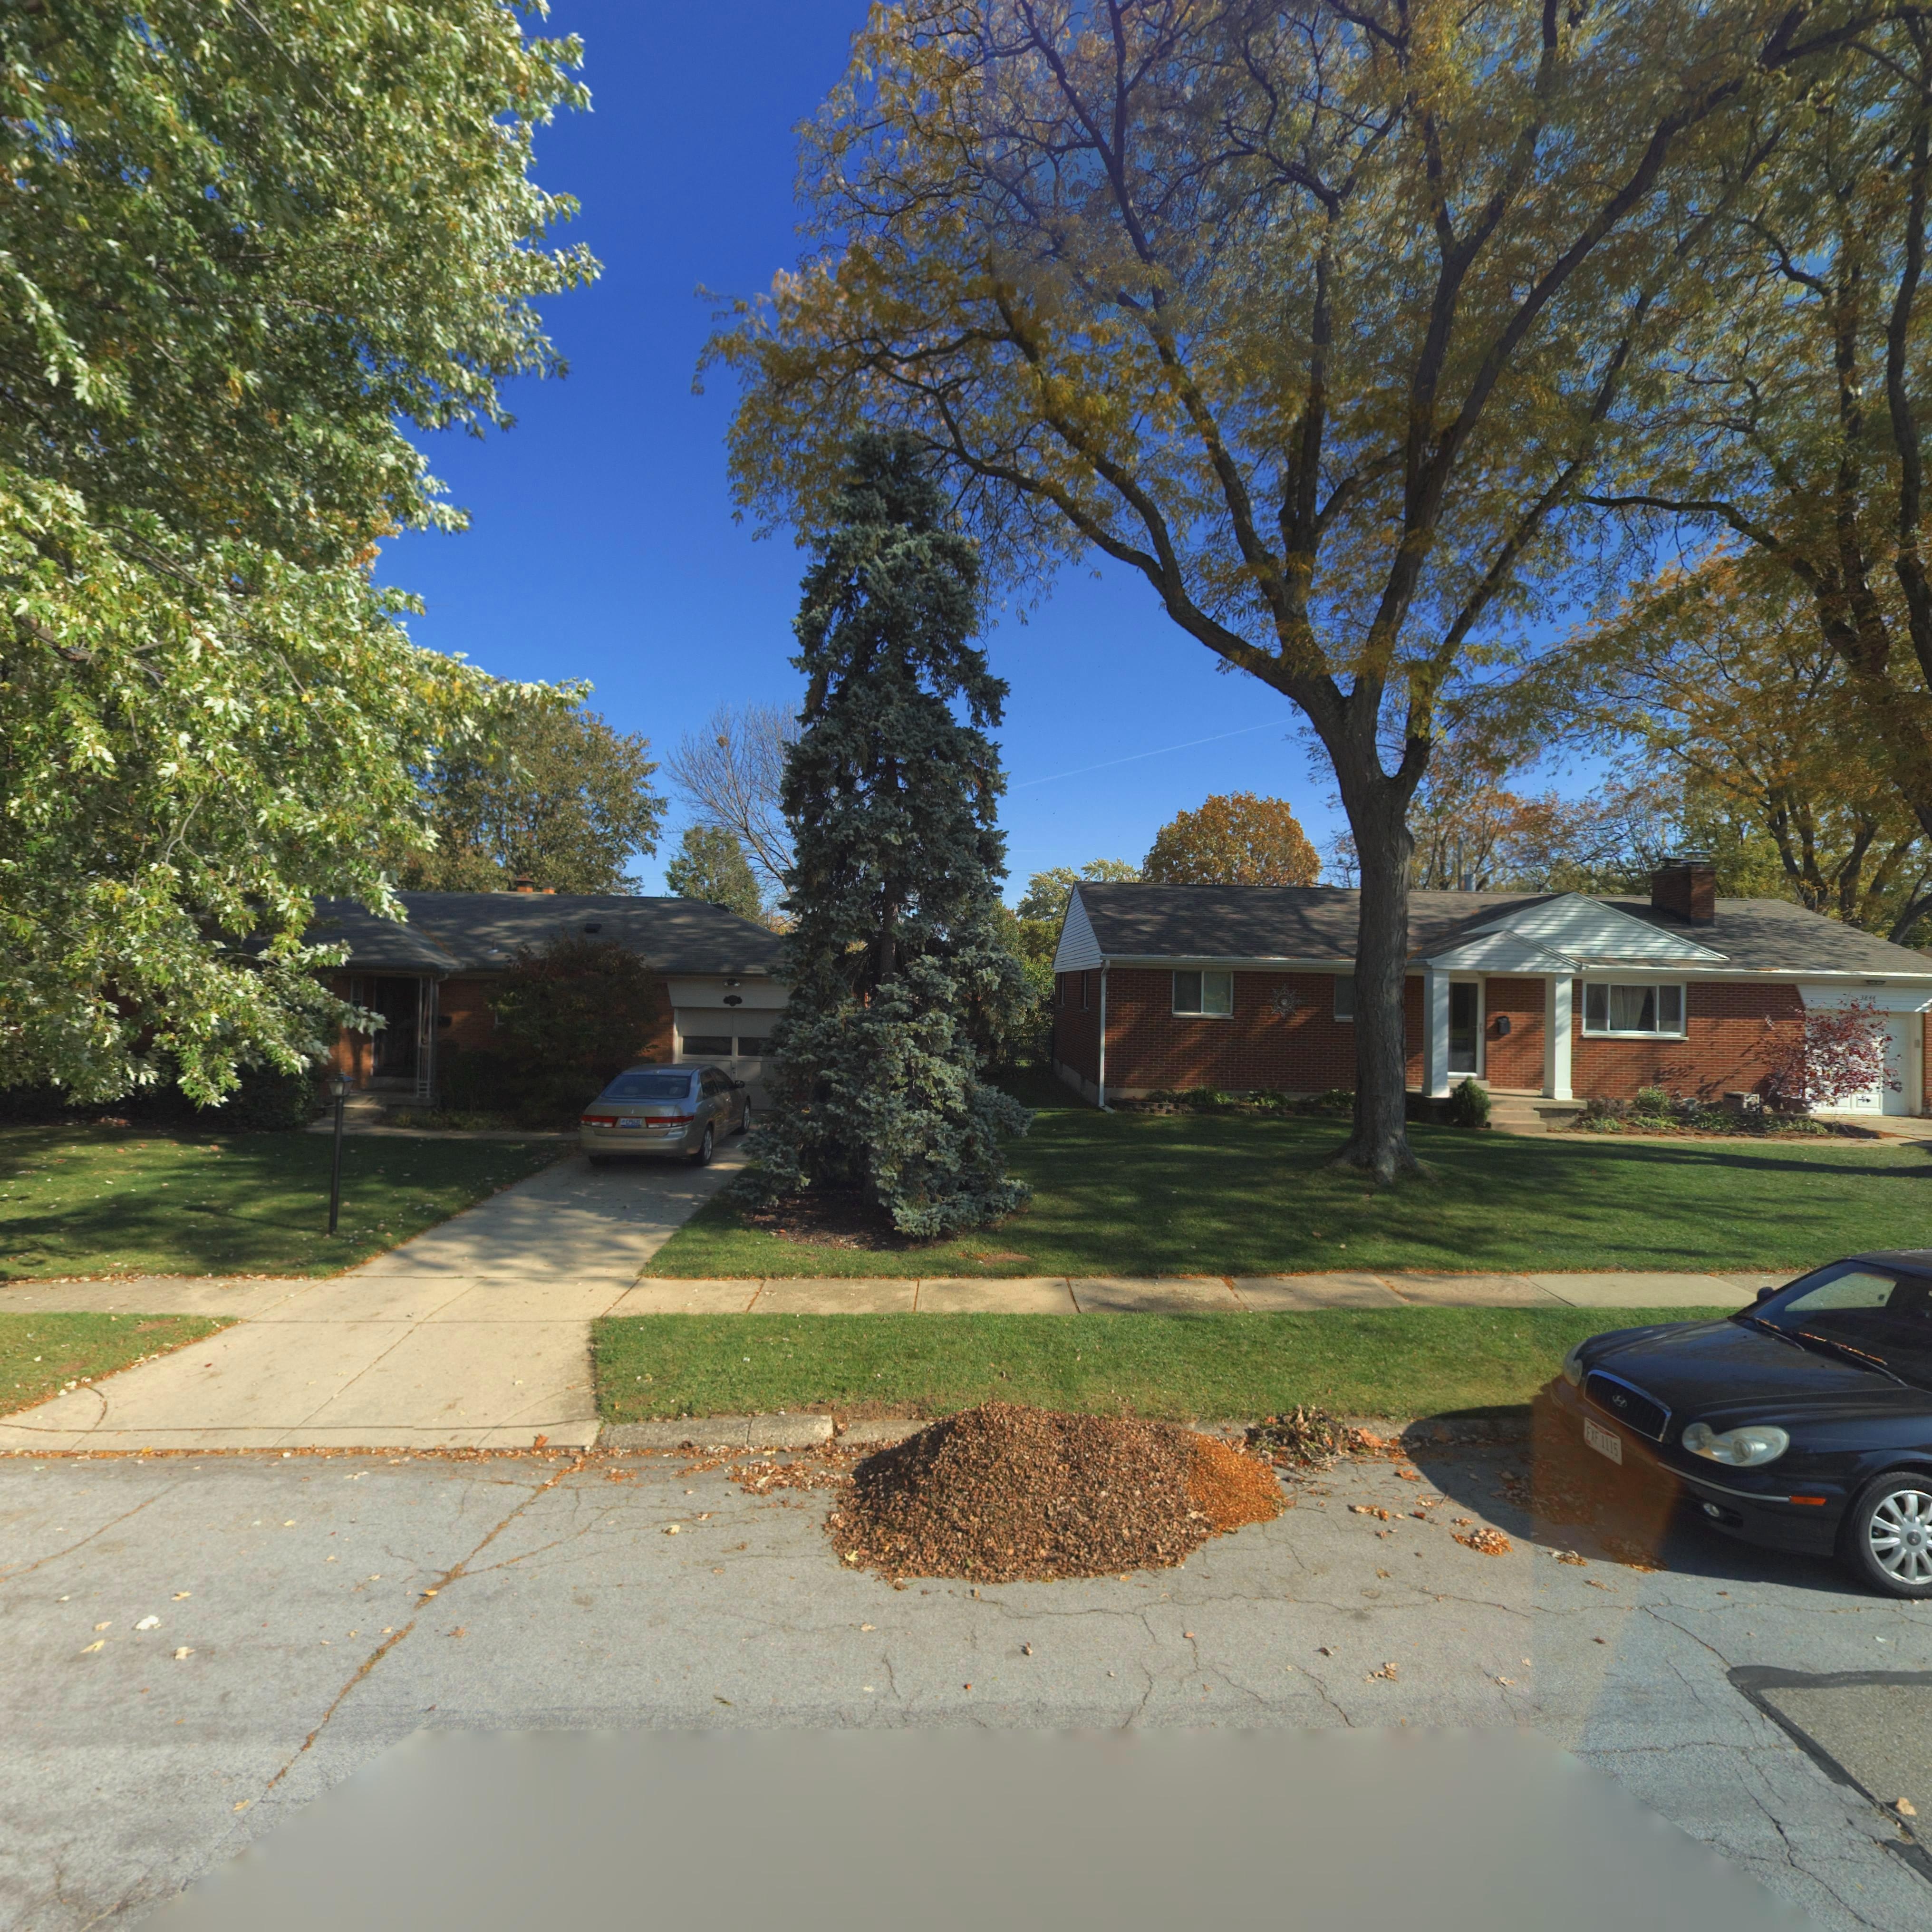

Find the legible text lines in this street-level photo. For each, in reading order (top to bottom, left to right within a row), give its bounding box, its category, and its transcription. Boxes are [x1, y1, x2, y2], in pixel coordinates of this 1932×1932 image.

[625, 1119, 641, 1125] None: CP55TE